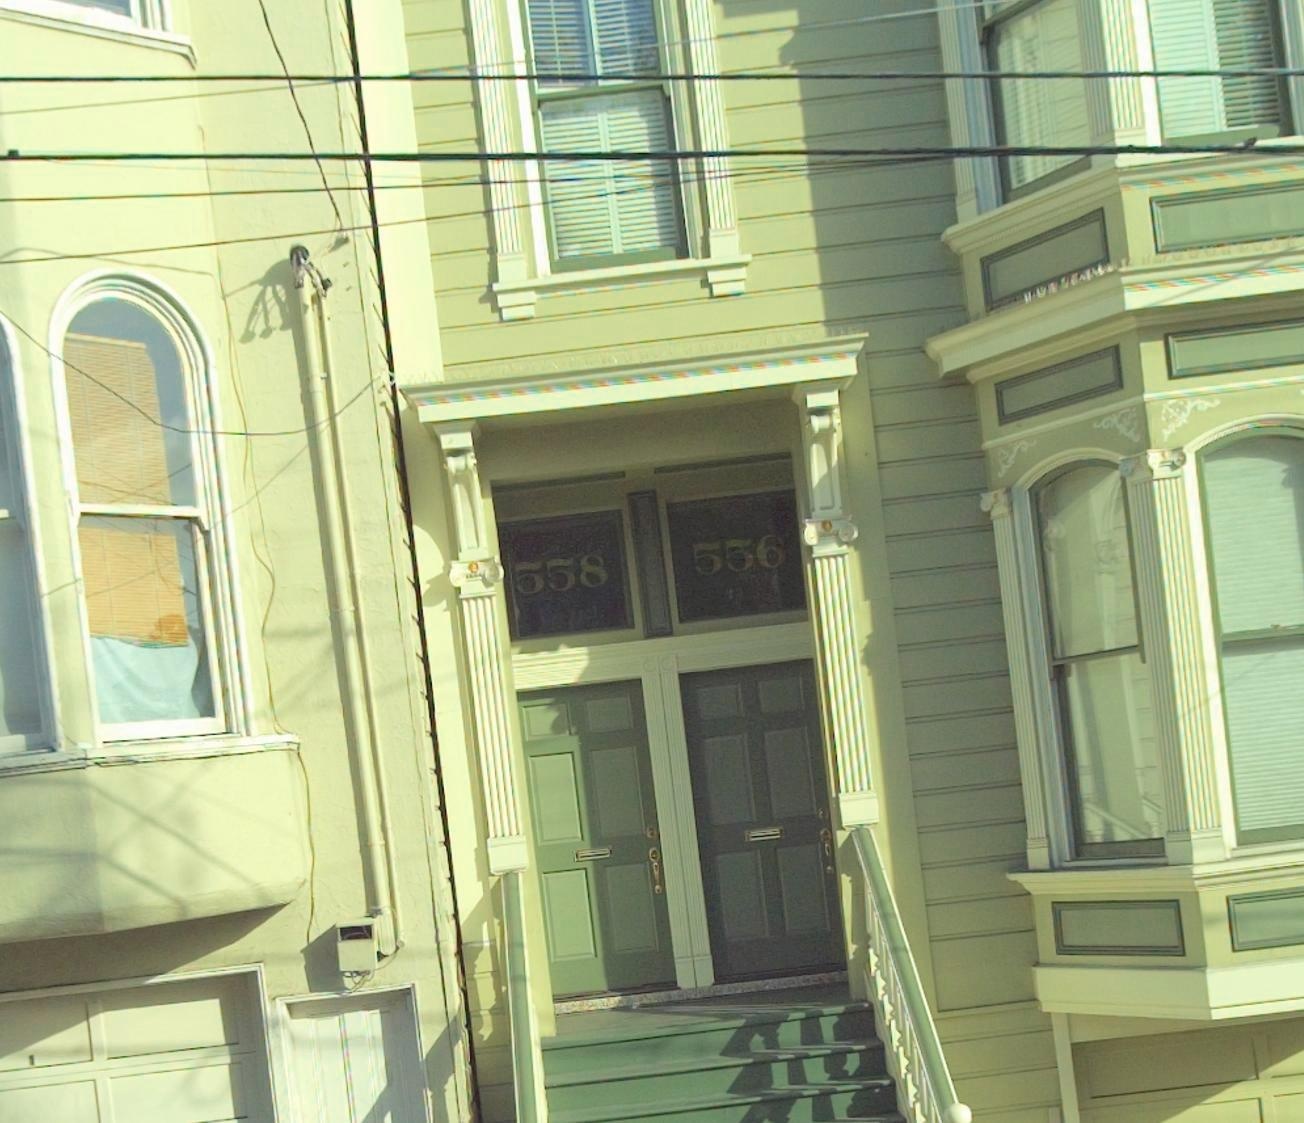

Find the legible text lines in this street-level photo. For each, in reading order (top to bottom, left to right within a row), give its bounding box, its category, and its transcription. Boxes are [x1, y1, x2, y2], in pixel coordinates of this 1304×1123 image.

[510, 547, 615, 602] StreetNumber: 558
[690, 530, 787, 580] StreetNumber: 556